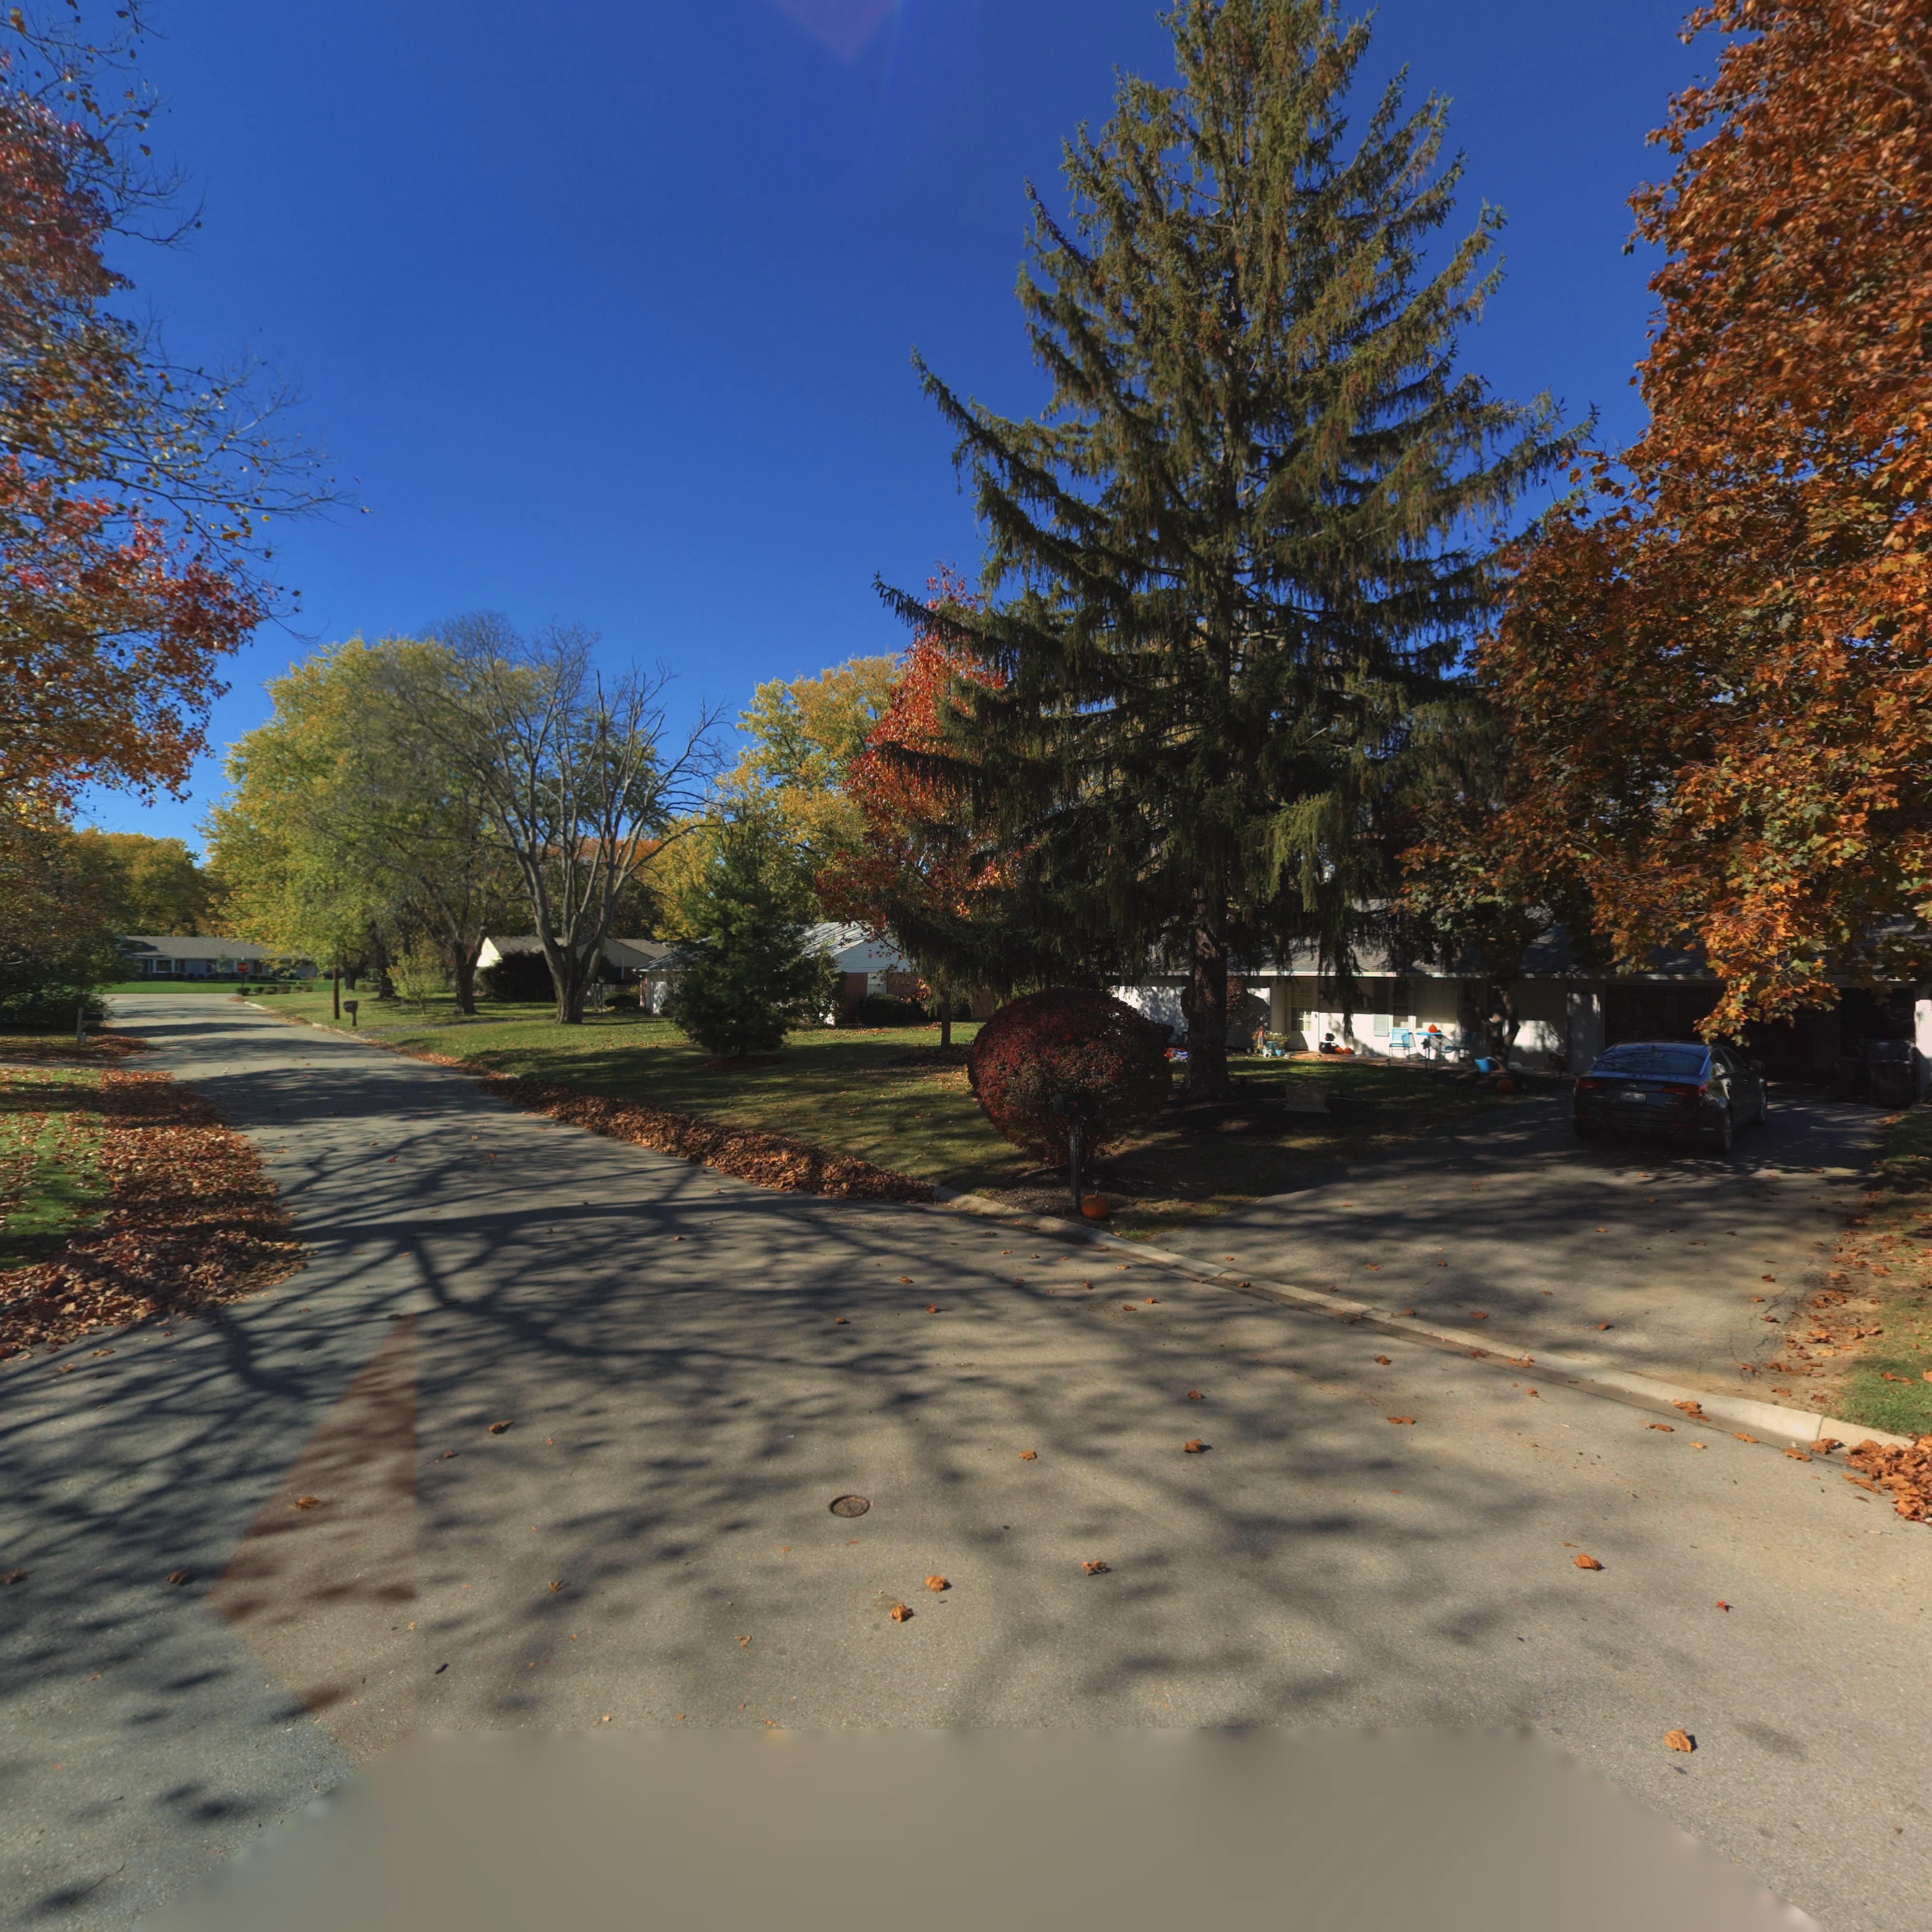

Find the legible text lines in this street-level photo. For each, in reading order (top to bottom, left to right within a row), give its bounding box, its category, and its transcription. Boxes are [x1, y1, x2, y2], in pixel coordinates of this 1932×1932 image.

[1070, 1127, 1074, 1153] StreetNumber: 571
[1075, 1125, 1080, 1157] StreetNumber: 571